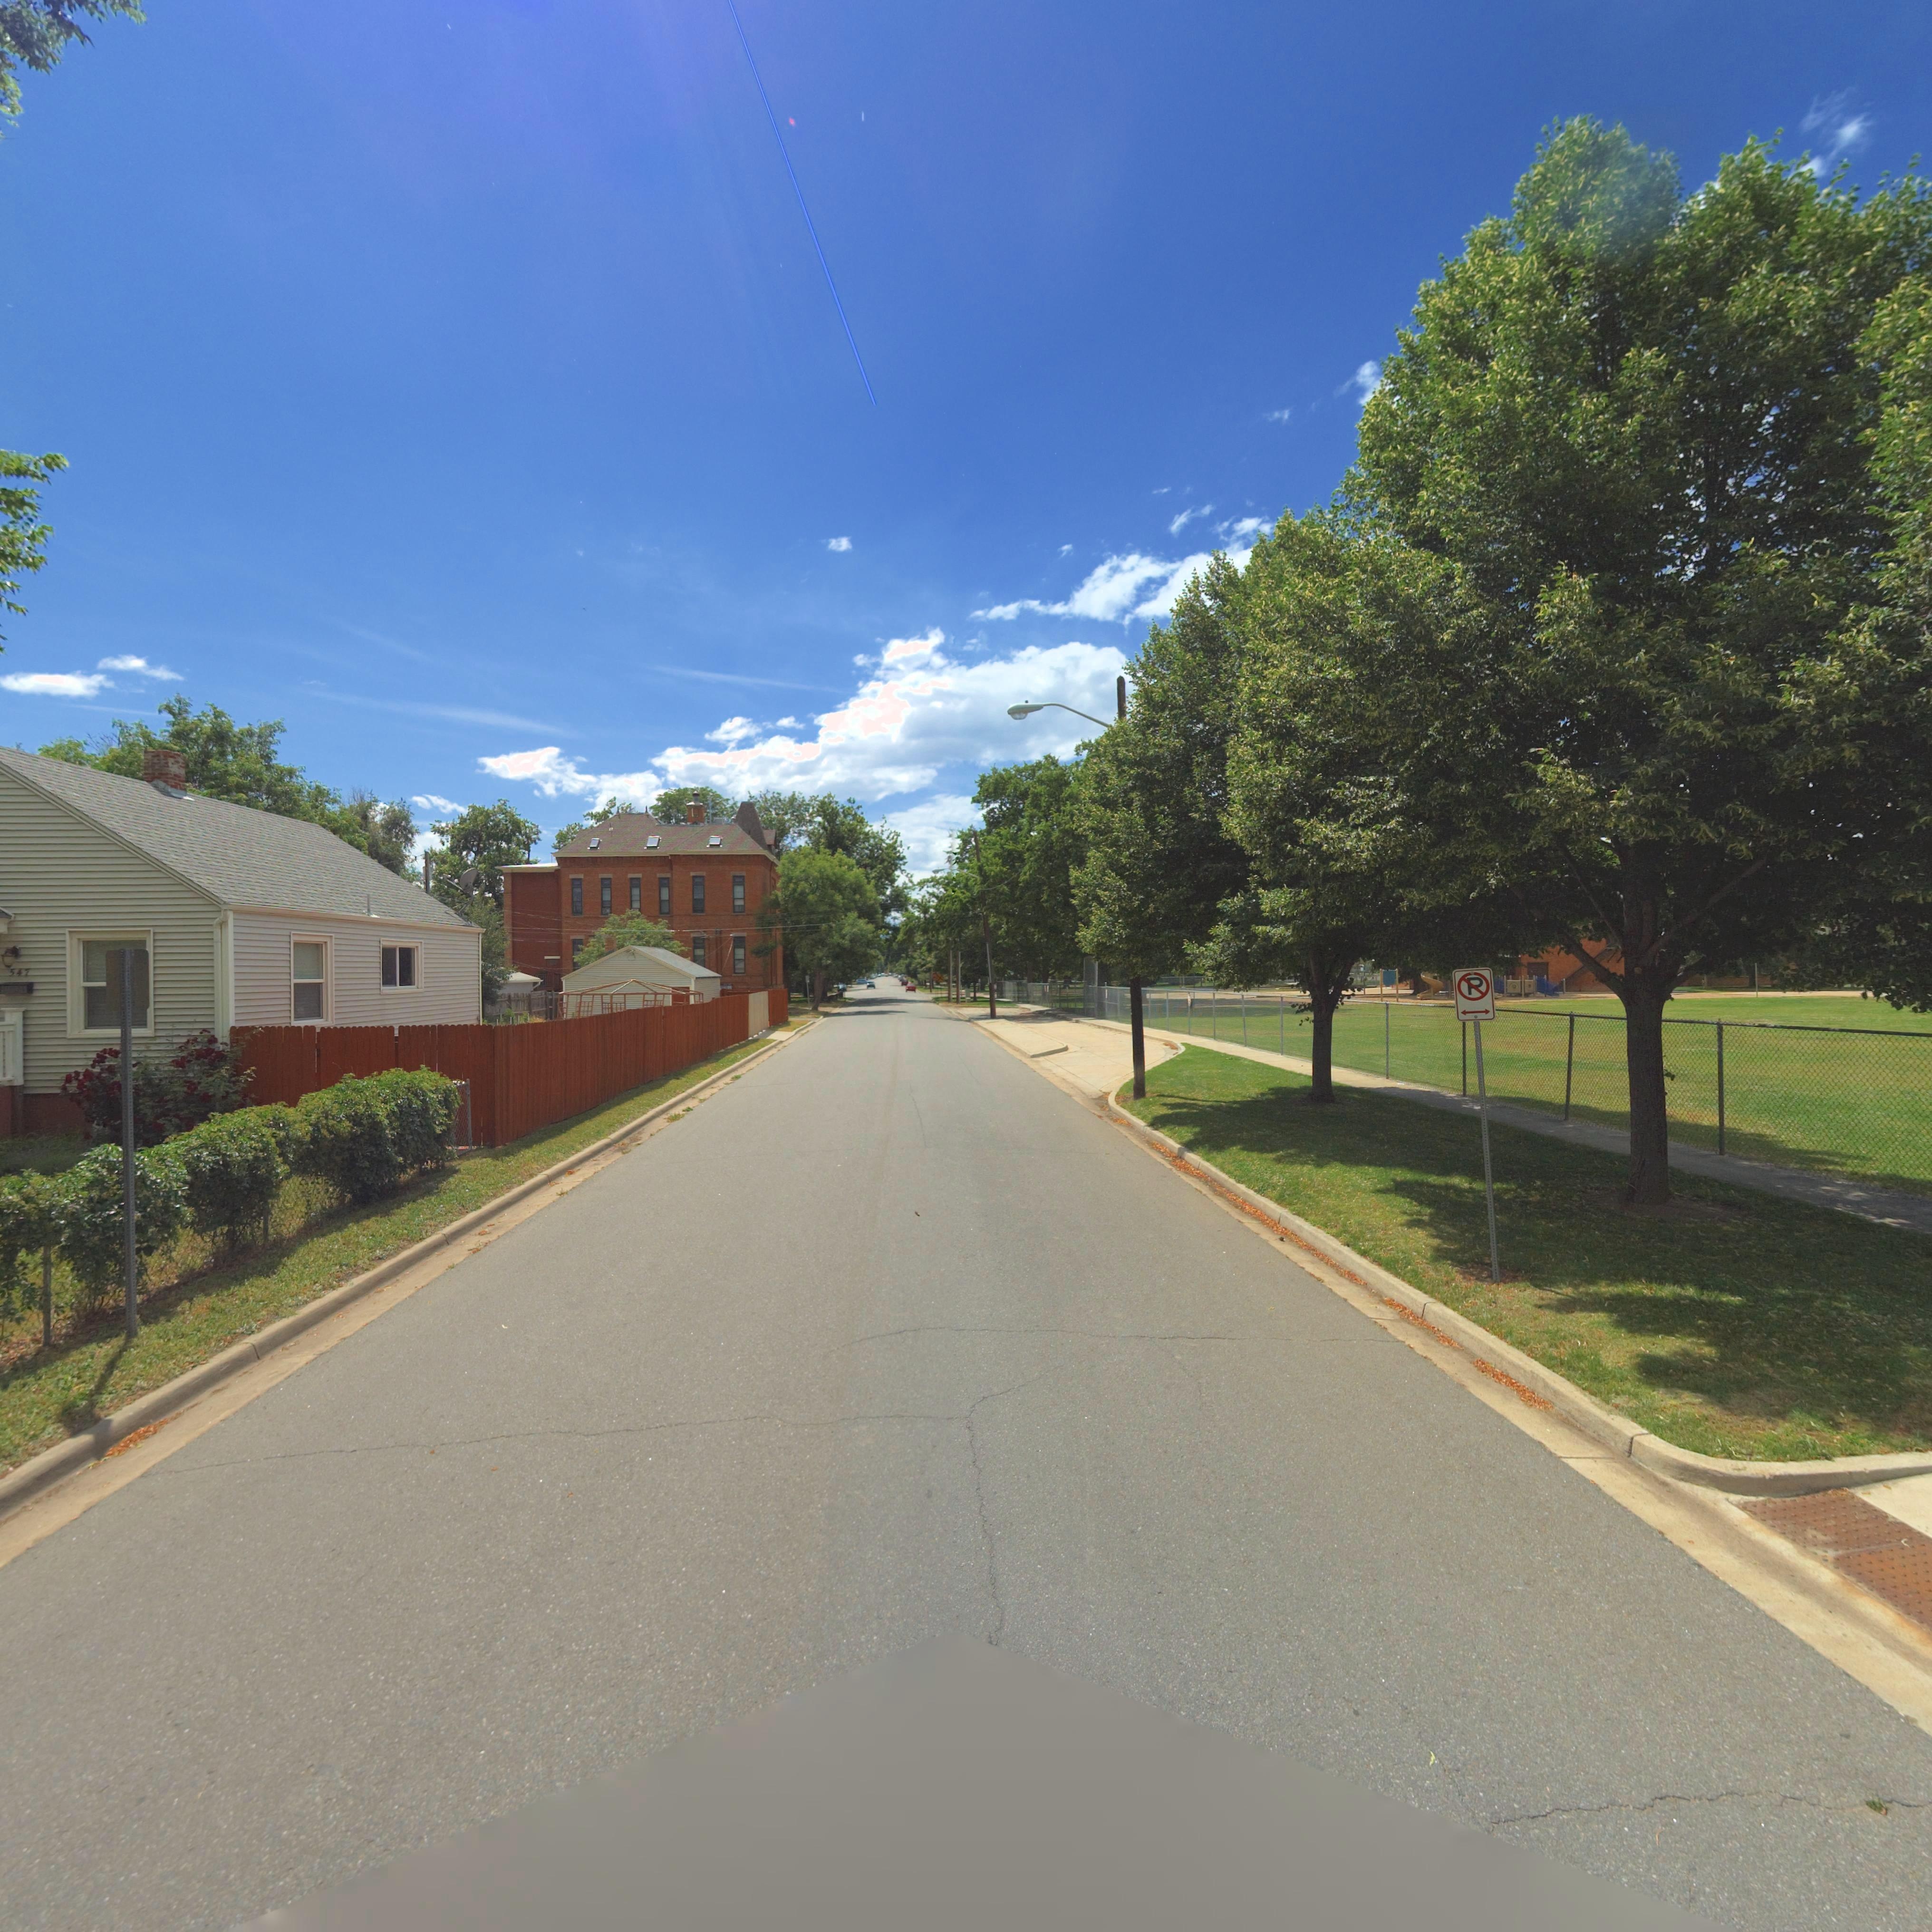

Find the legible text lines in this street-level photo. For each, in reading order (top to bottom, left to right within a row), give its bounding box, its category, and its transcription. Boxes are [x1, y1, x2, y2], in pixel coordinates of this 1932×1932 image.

[9, 967, 32, 976] StreetNumber: 547